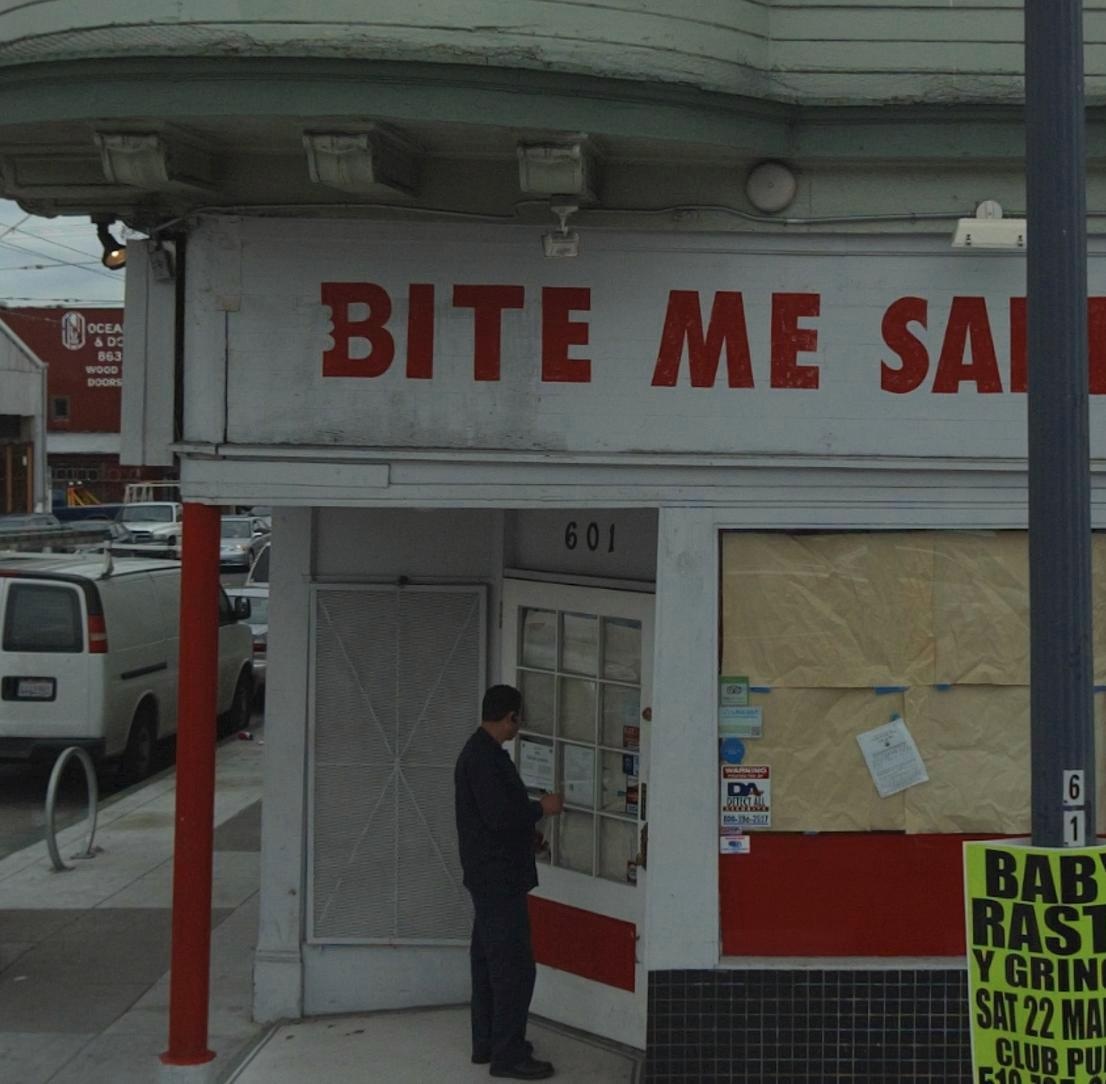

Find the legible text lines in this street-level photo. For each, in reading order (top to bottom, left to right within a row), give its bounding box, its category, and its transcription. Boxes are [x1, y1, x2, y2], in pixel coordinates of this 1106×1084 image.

[86, 322, 124, 335] None: OCEA
[317, 279, 1009, 395] BusinessName: BITE ME SA
[83, 364, 121, 375] None: WOOD
[86, 376, 124, 388] None: DOORS
[563, 519, 617, 555] StreetNumber: 601
[725, 795, 769, 809] None: DETECT ALL
[1067, 771, 1082, 846] None: 61
[983, 847, 1102, 905] None: BAB
[970, 895, 1084, 958] None: RAS
[969, 947, 1101, 993] None: Y GRIN
[975, 985, 1104, 1041] None: SAT 22 MA
[994, 1034, 1103, 1079] None: CLUB PU